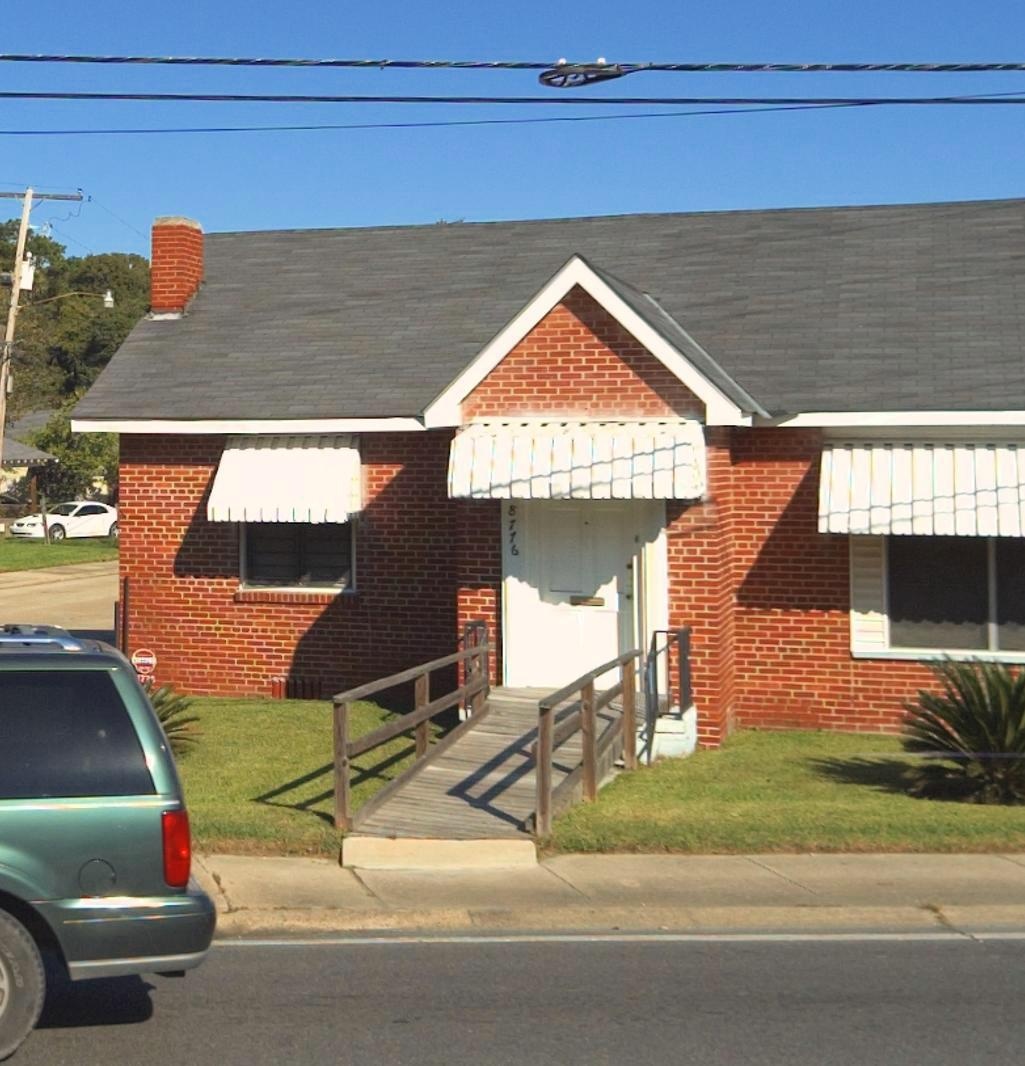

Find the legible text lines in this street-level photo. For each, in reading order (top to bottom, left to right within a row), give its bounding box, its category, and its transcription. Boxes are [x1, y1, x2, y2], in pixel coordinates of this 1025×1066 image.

[507, 503, 521, 558] StreetNumber: 8776